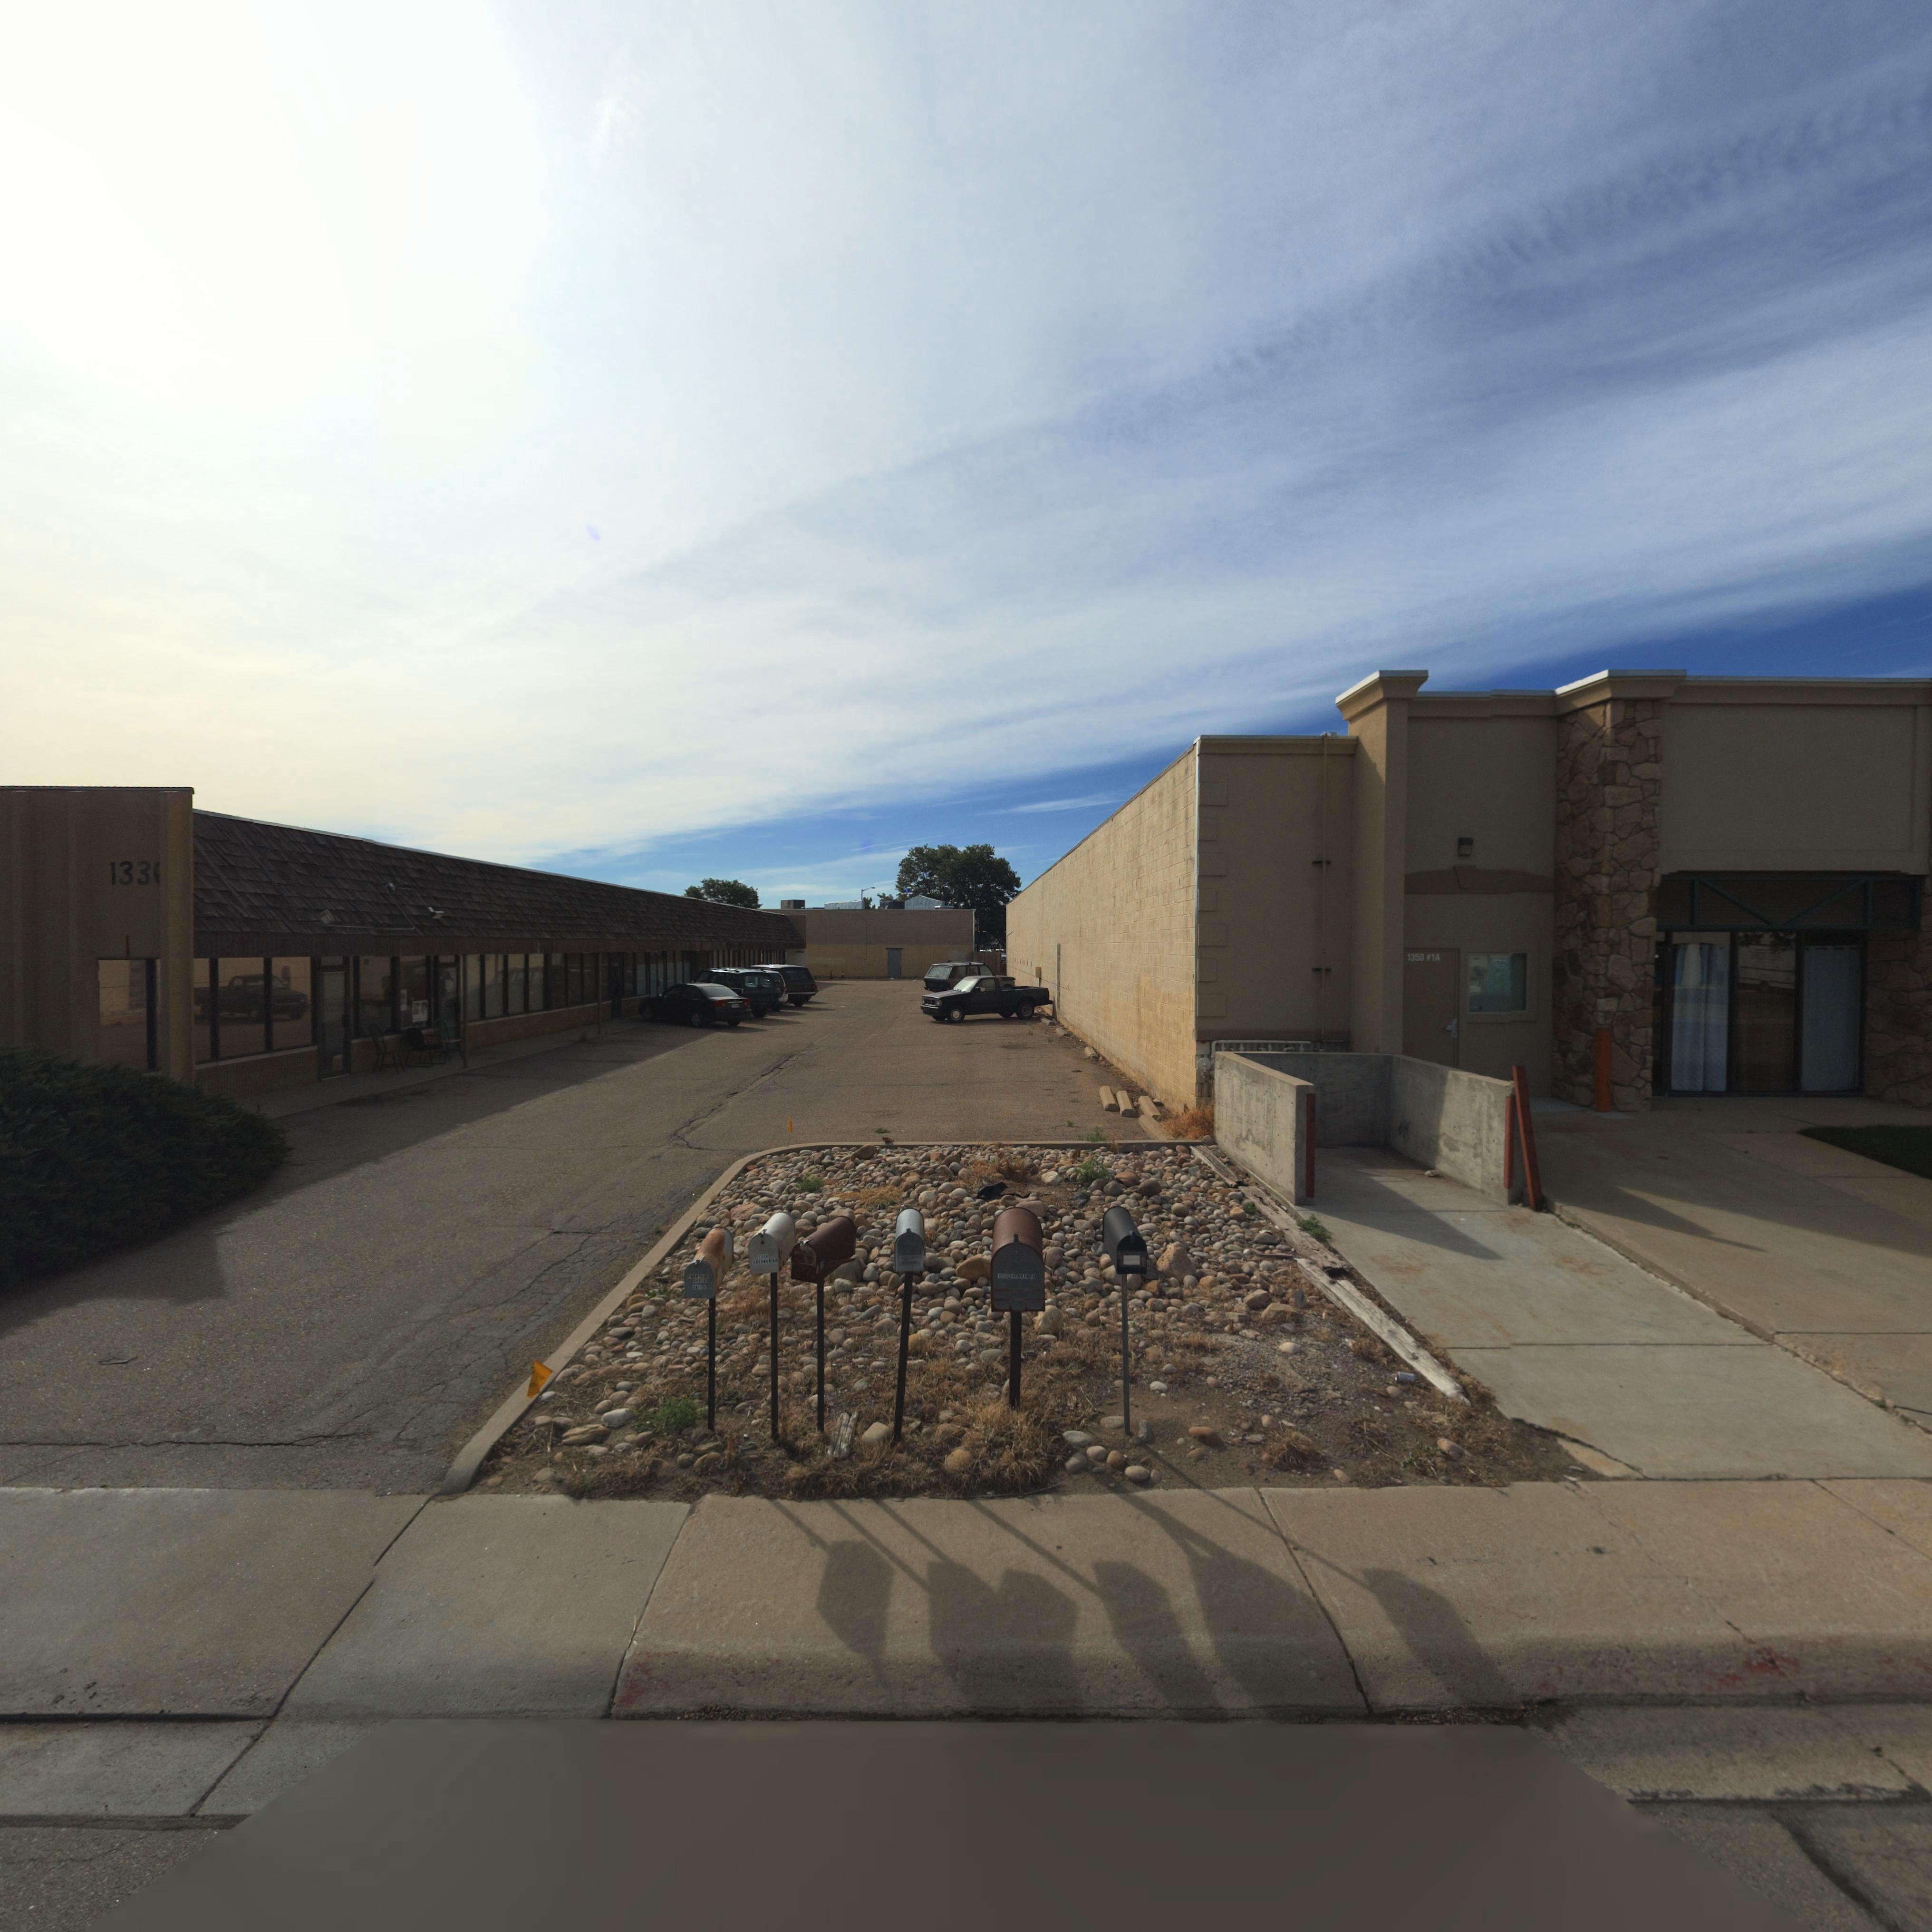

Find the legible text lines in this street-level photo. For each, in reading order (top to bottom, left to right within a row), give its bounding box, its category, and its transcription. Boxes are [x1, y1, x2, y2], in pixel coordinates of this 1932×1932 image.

[106, 858, 152, 885] StreetNumber: 133
[1407, 952, 1441, 961] StreetNumber: 1350 #1A
[758, 1254, 768, 1259] StreetNumber: 13**